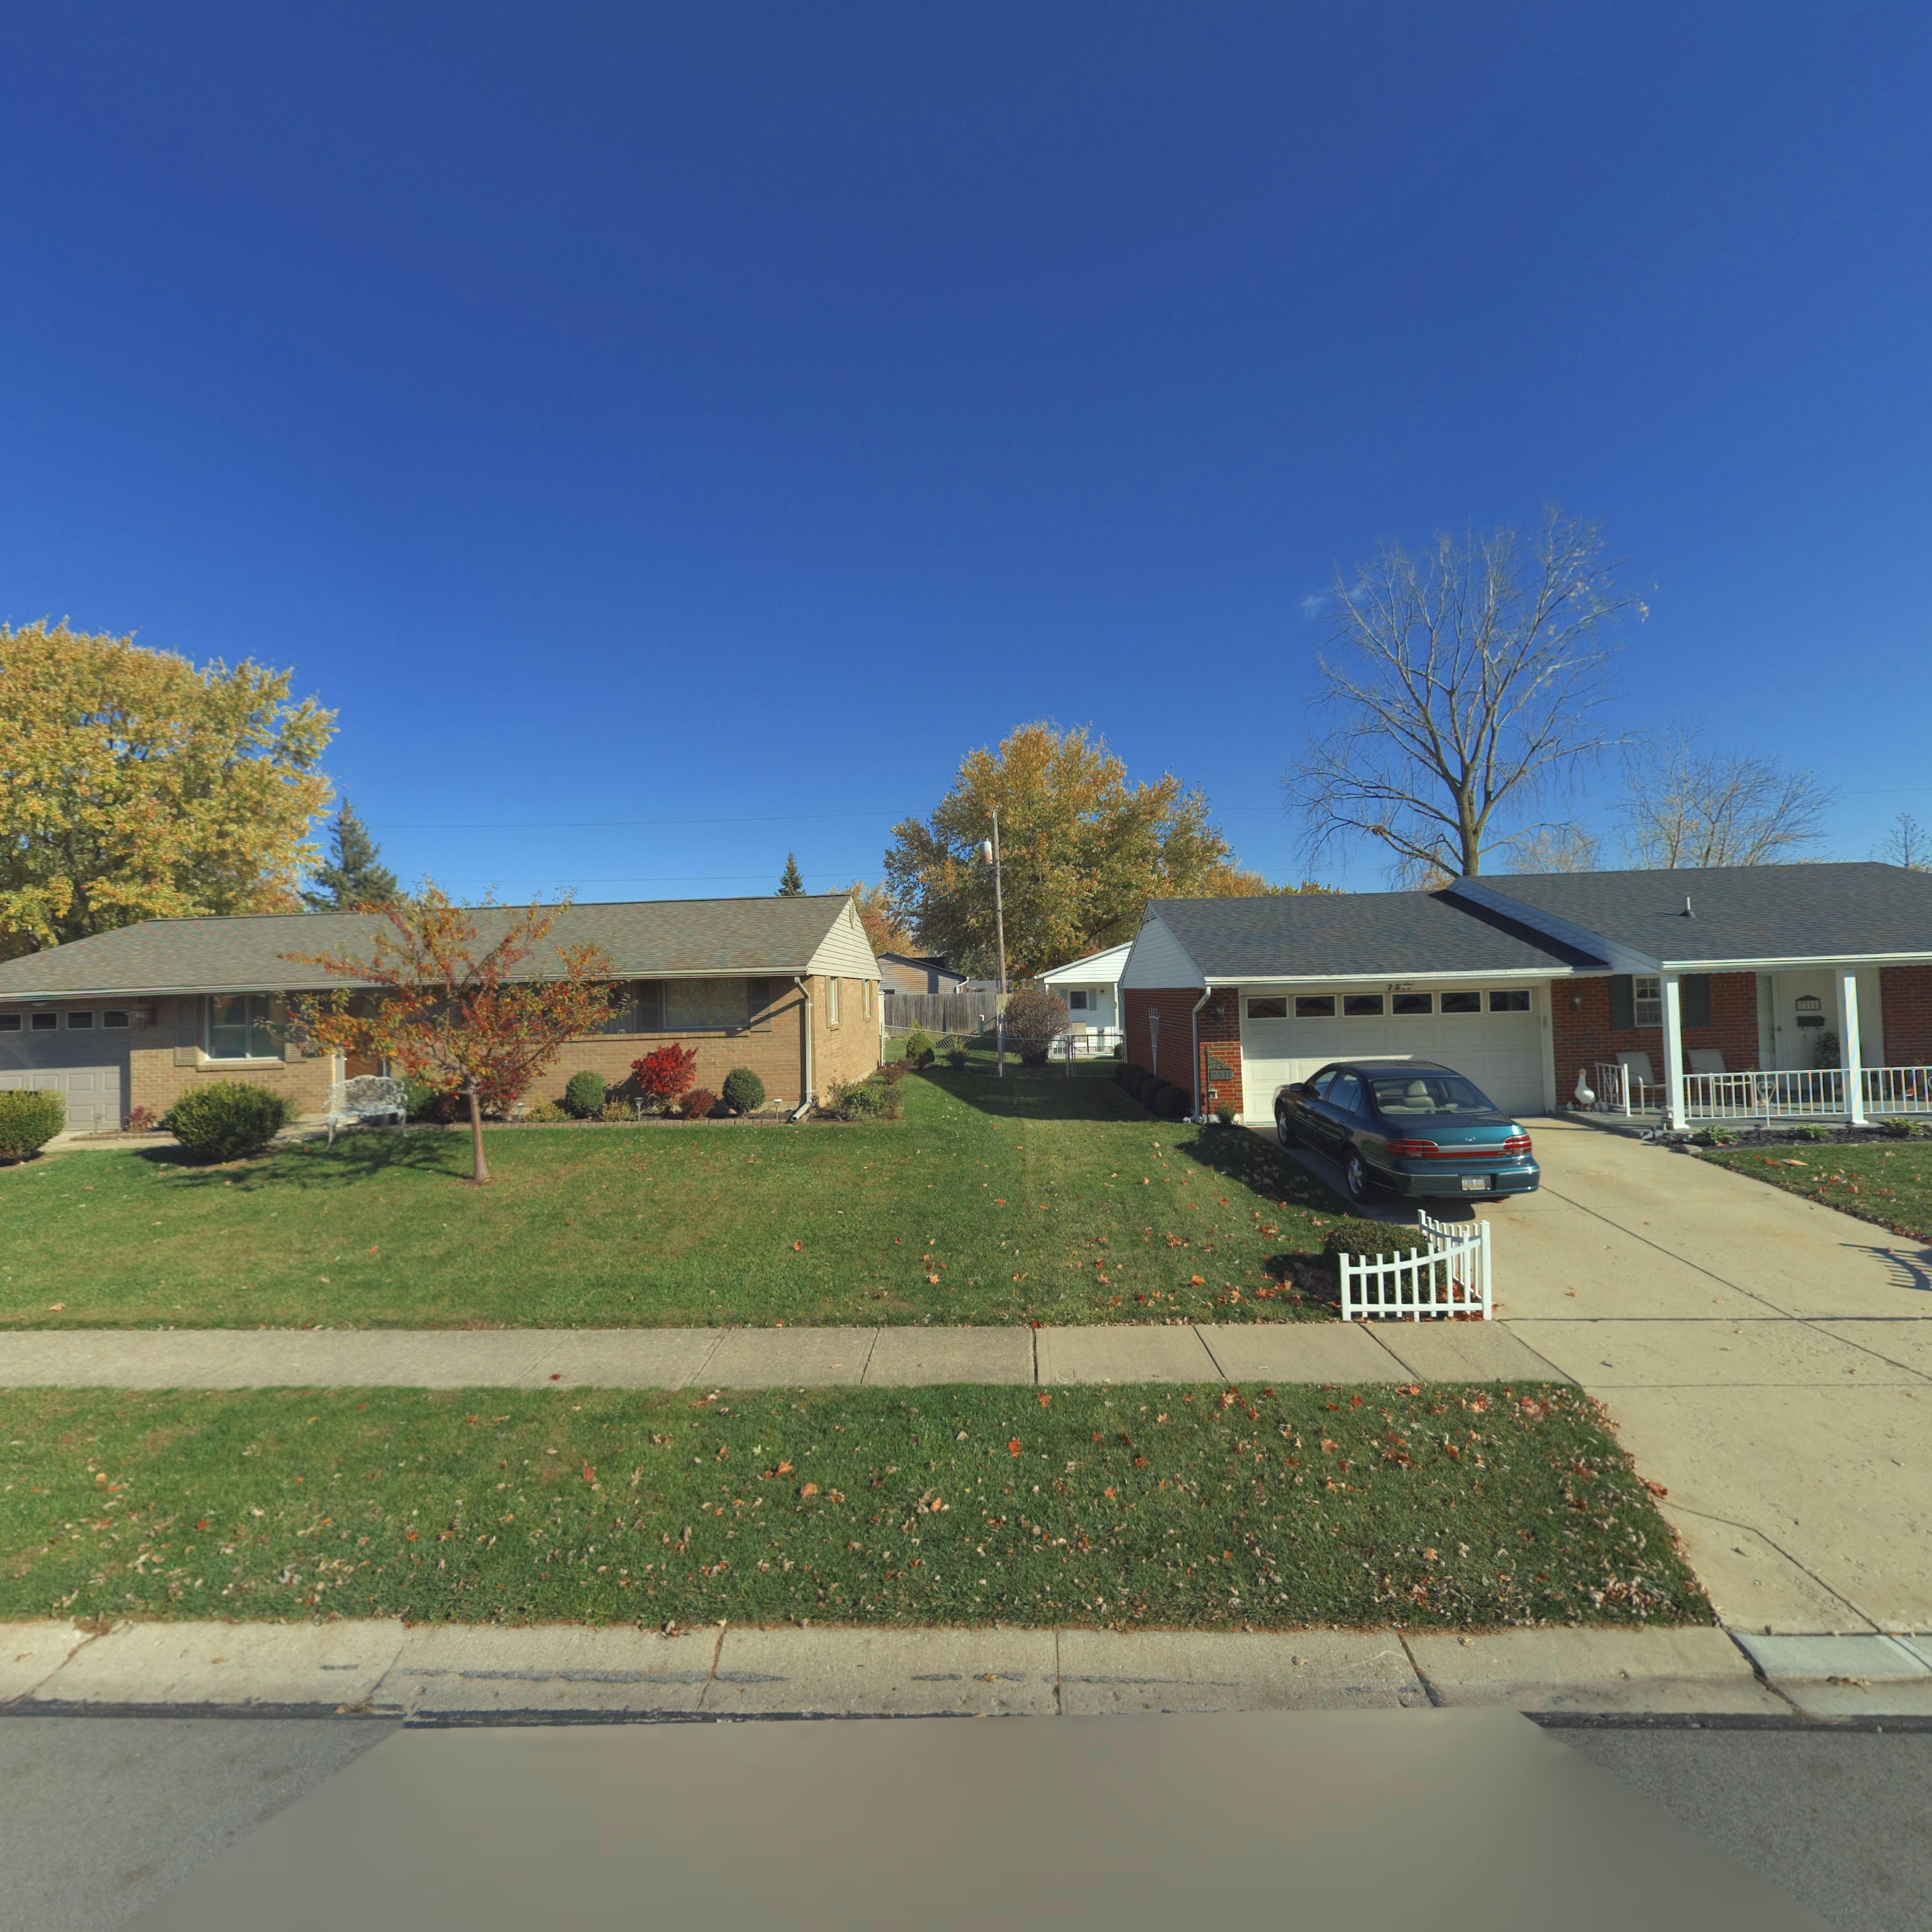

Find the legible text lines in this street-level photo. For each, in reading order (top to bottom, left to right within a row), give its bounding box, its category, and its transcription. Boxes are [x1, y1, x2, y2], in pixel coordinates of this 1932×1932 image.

[1798, 1001, 1818, 1010] StreetNumber: **11